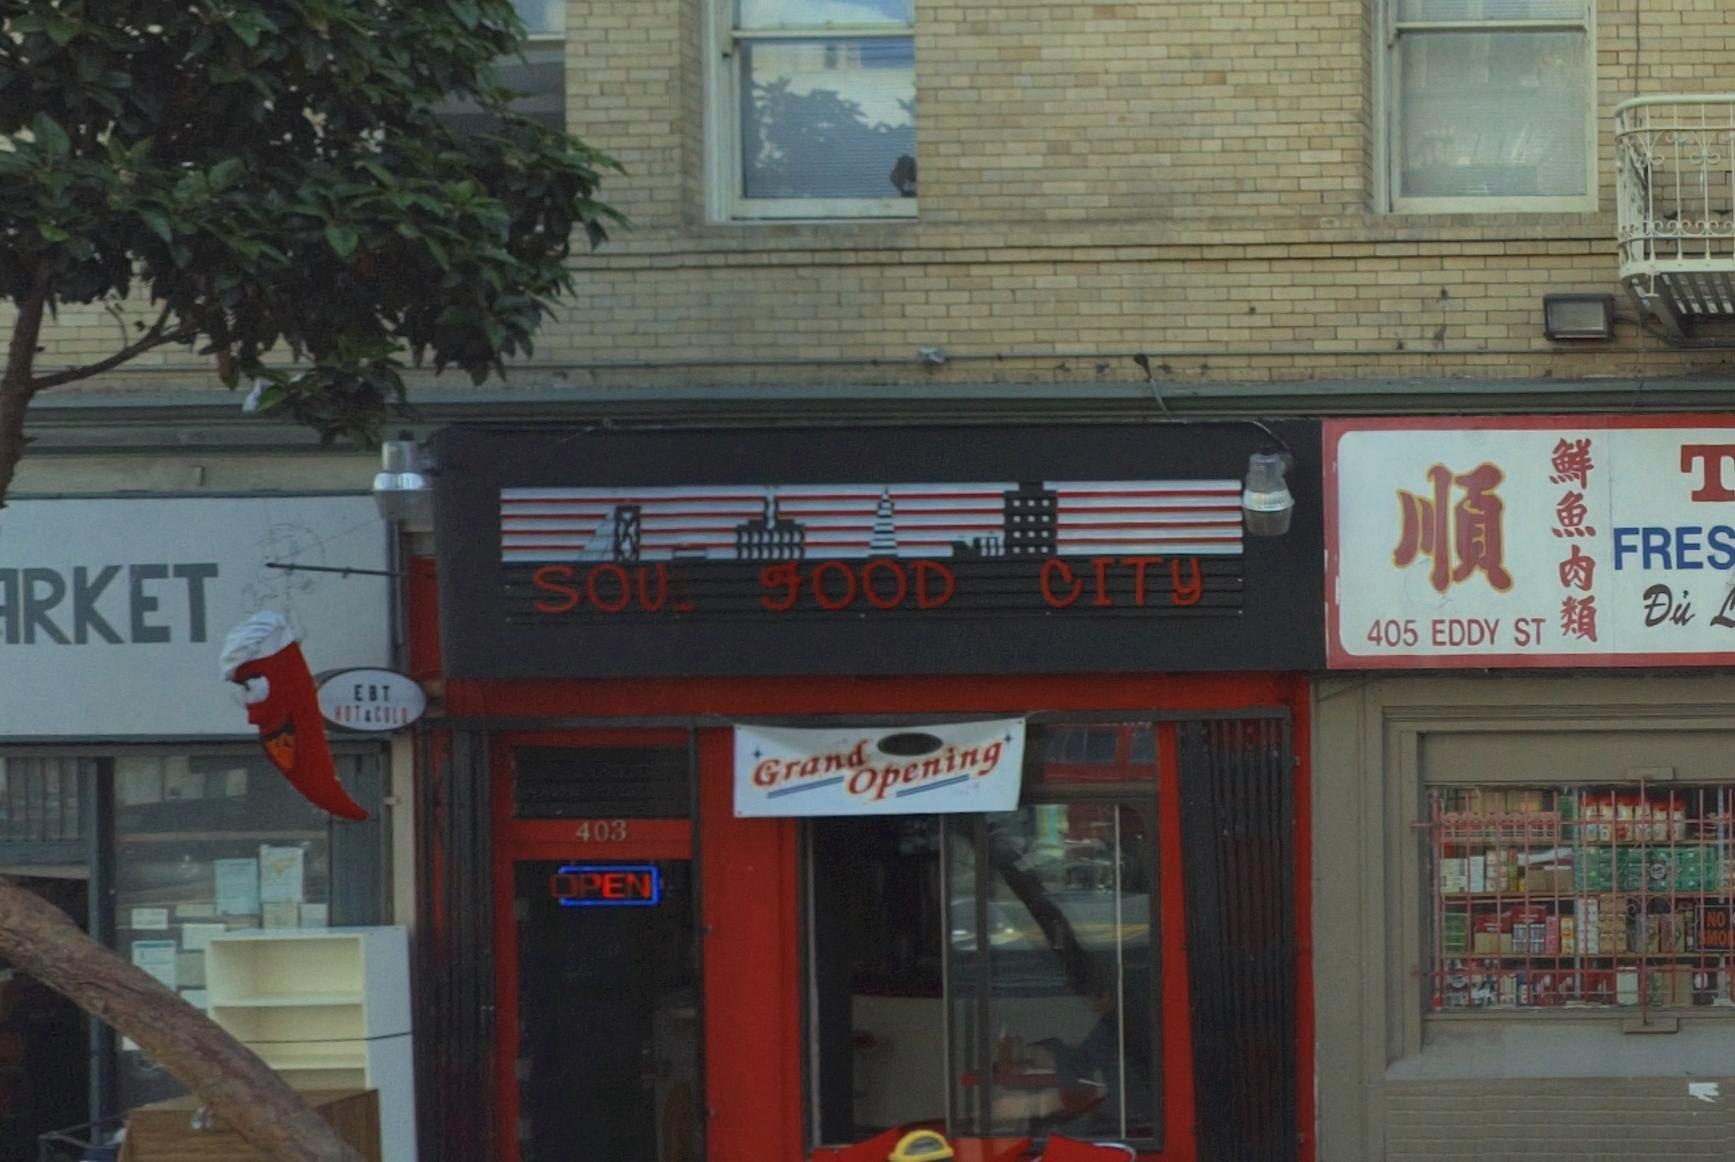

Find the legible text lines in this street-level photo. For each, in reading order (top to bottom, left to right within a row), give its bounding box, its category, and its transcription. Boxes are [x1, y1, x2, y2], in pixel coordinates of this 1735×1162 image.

[1676, 440, 1735, 505] BusinessName: T
[1610, 523, 1735, 574] None: FRES
[19, 557, 223, 650] BusinessName: RKET
[528, 554, 1208, 618] BusinessName: SOU* FOOD CITY
[1362, 615, 1423, 651] StreetNumber: 405
[1428, 613, 1550, 650] StreetName: EDDY ST
[1635, 579, 1700, 634] None: Du
[350, 681, 393, 705] None: EBT
[748, 739, 869, 792] None: Grand
[846, 738, 1004, 803] None: Opening
[571, 815, 630, 846] StreetNumber: 403
[545, 870, 654, 902] None: OPEN